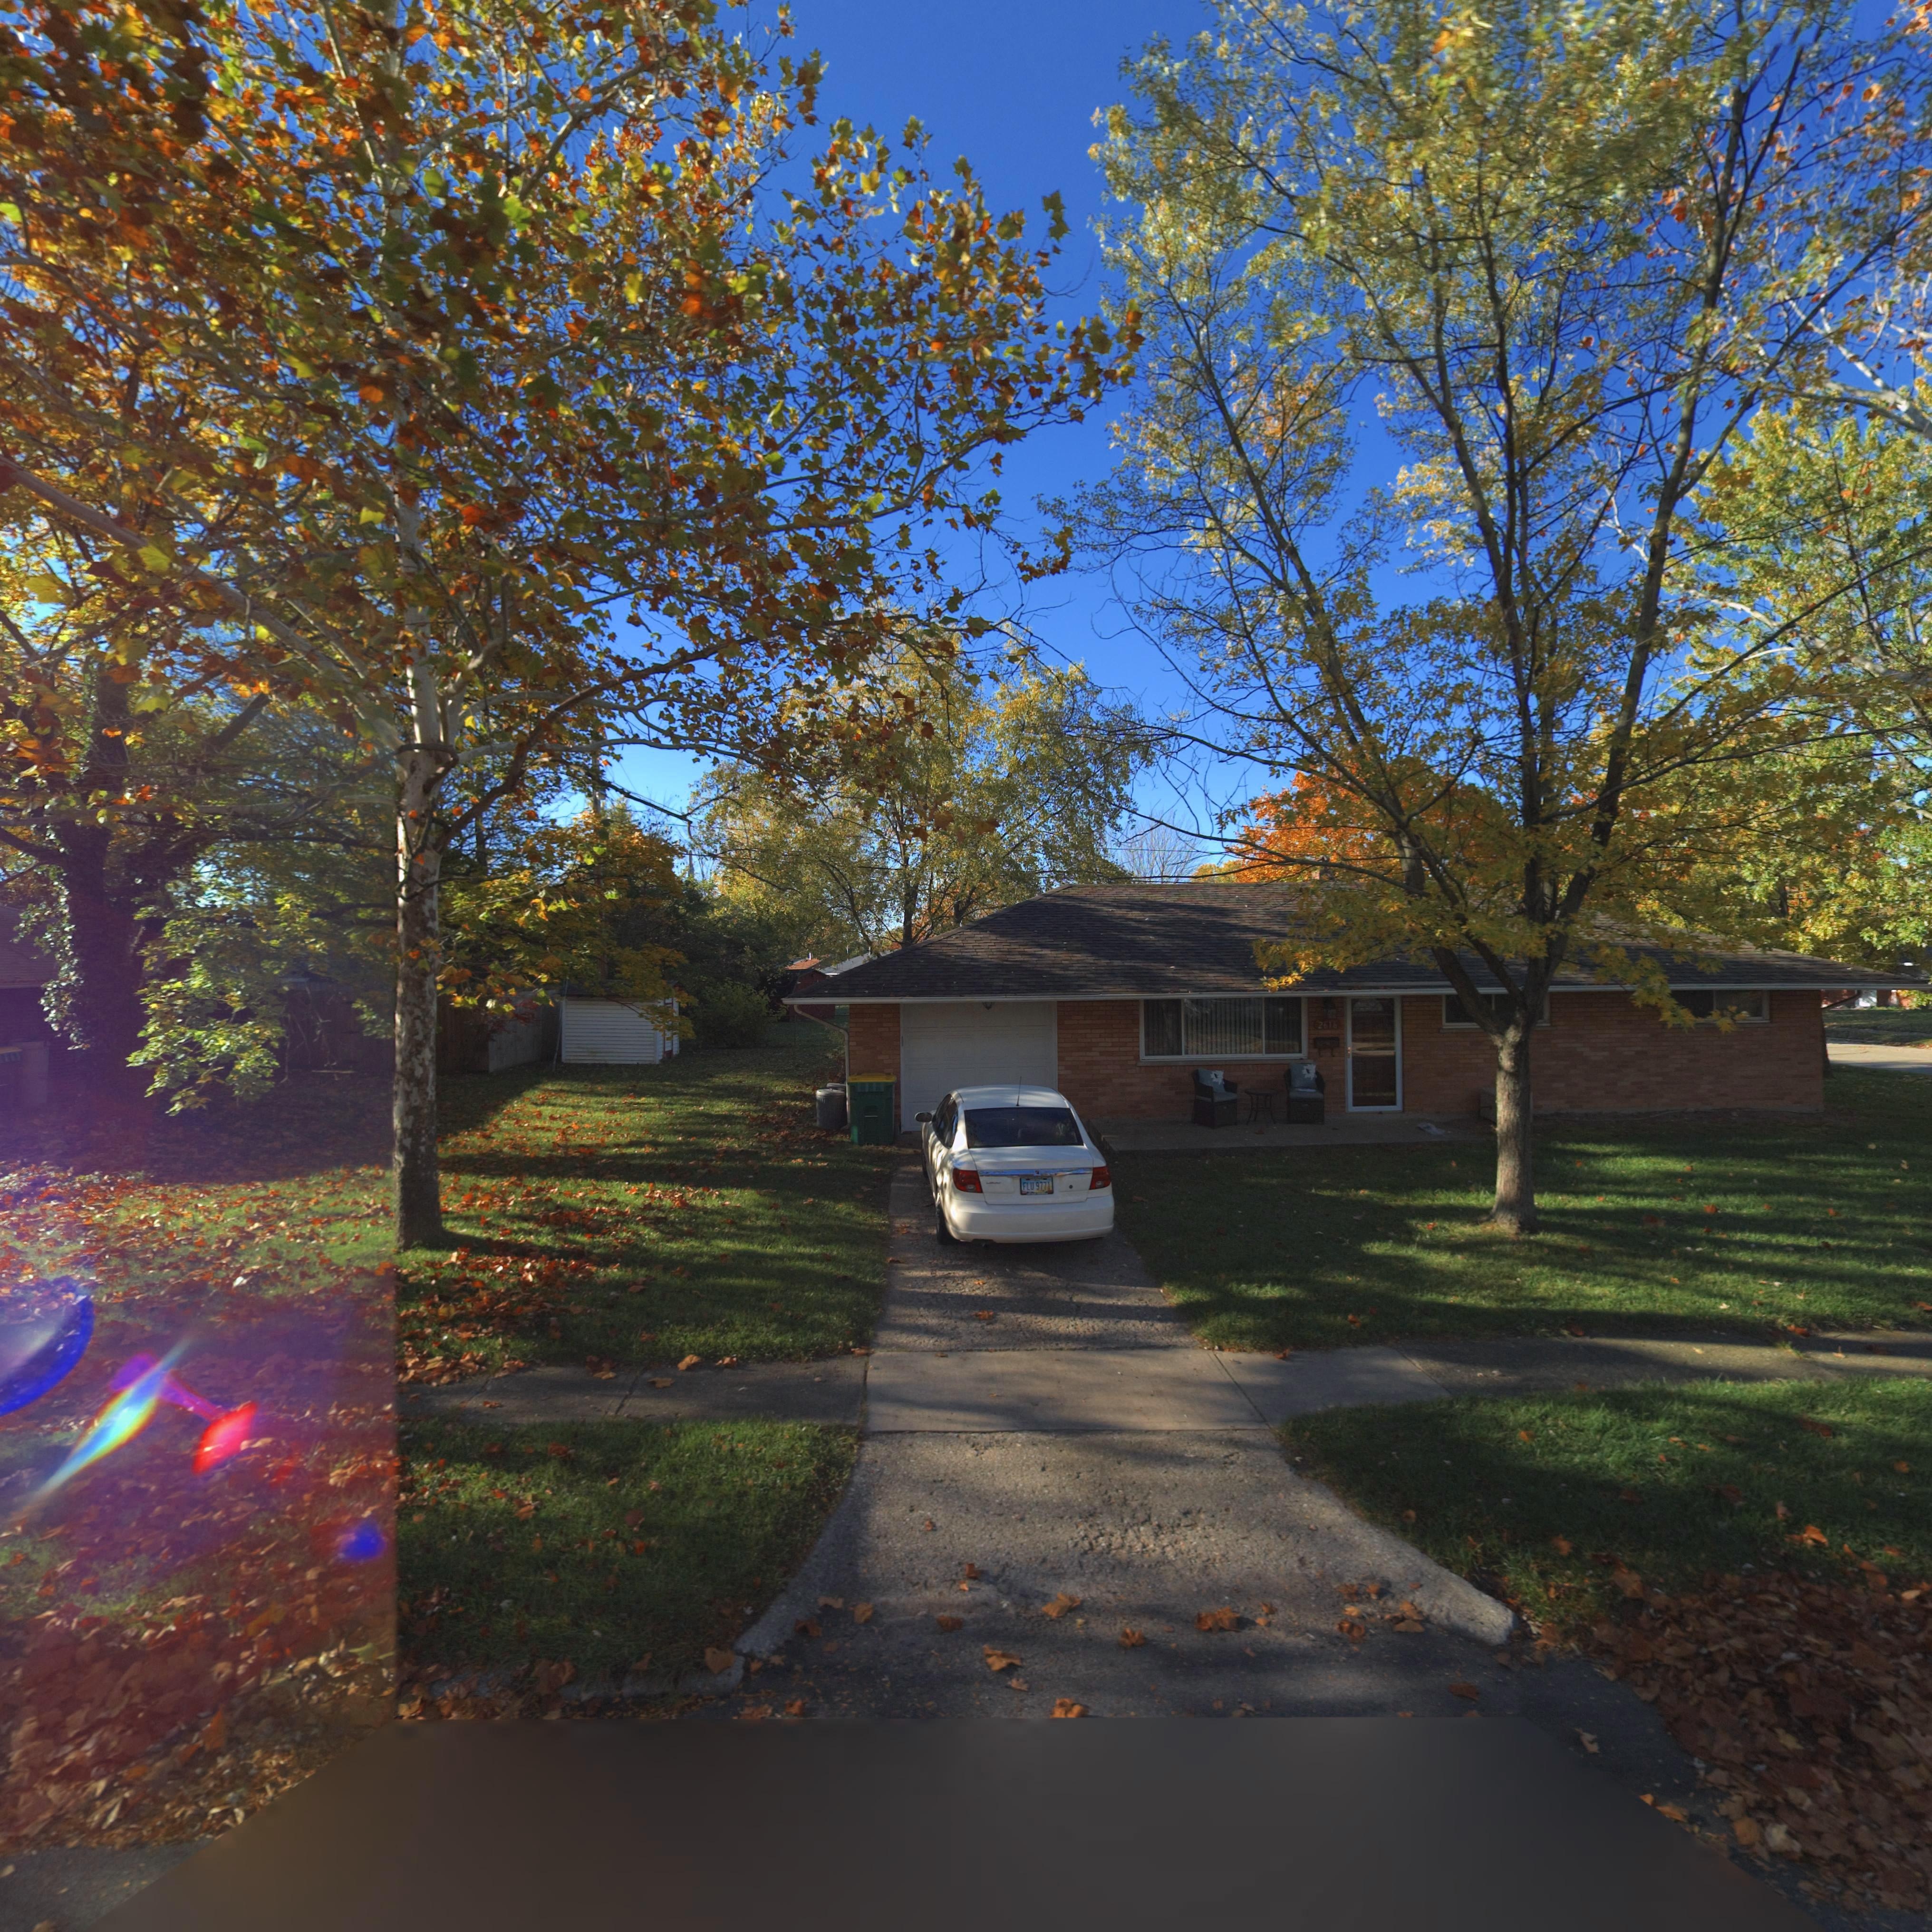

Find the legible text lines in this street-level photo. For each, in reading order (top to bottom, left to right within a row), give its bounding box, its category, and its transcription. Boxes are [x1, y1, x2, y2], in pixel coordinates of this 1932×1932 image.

[1317, 1020, 1338, 1028] StreetNumber: 2616